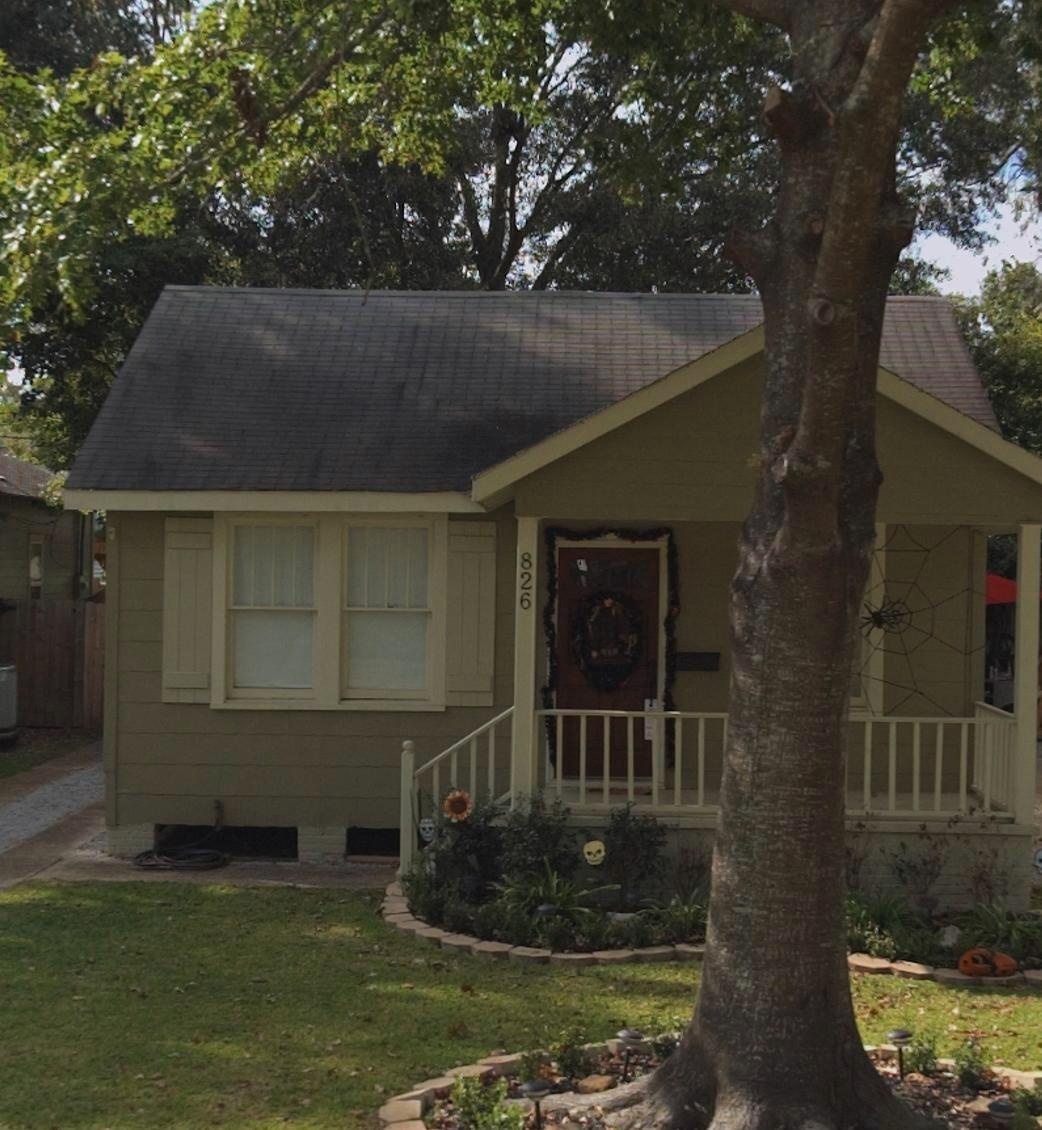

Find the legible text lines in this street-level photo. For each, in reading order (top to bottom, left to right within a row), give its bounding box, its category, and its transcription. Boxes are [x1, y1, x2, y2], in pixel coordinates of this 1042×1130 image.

[516, 551, 536, 612] StreetNumber: 826